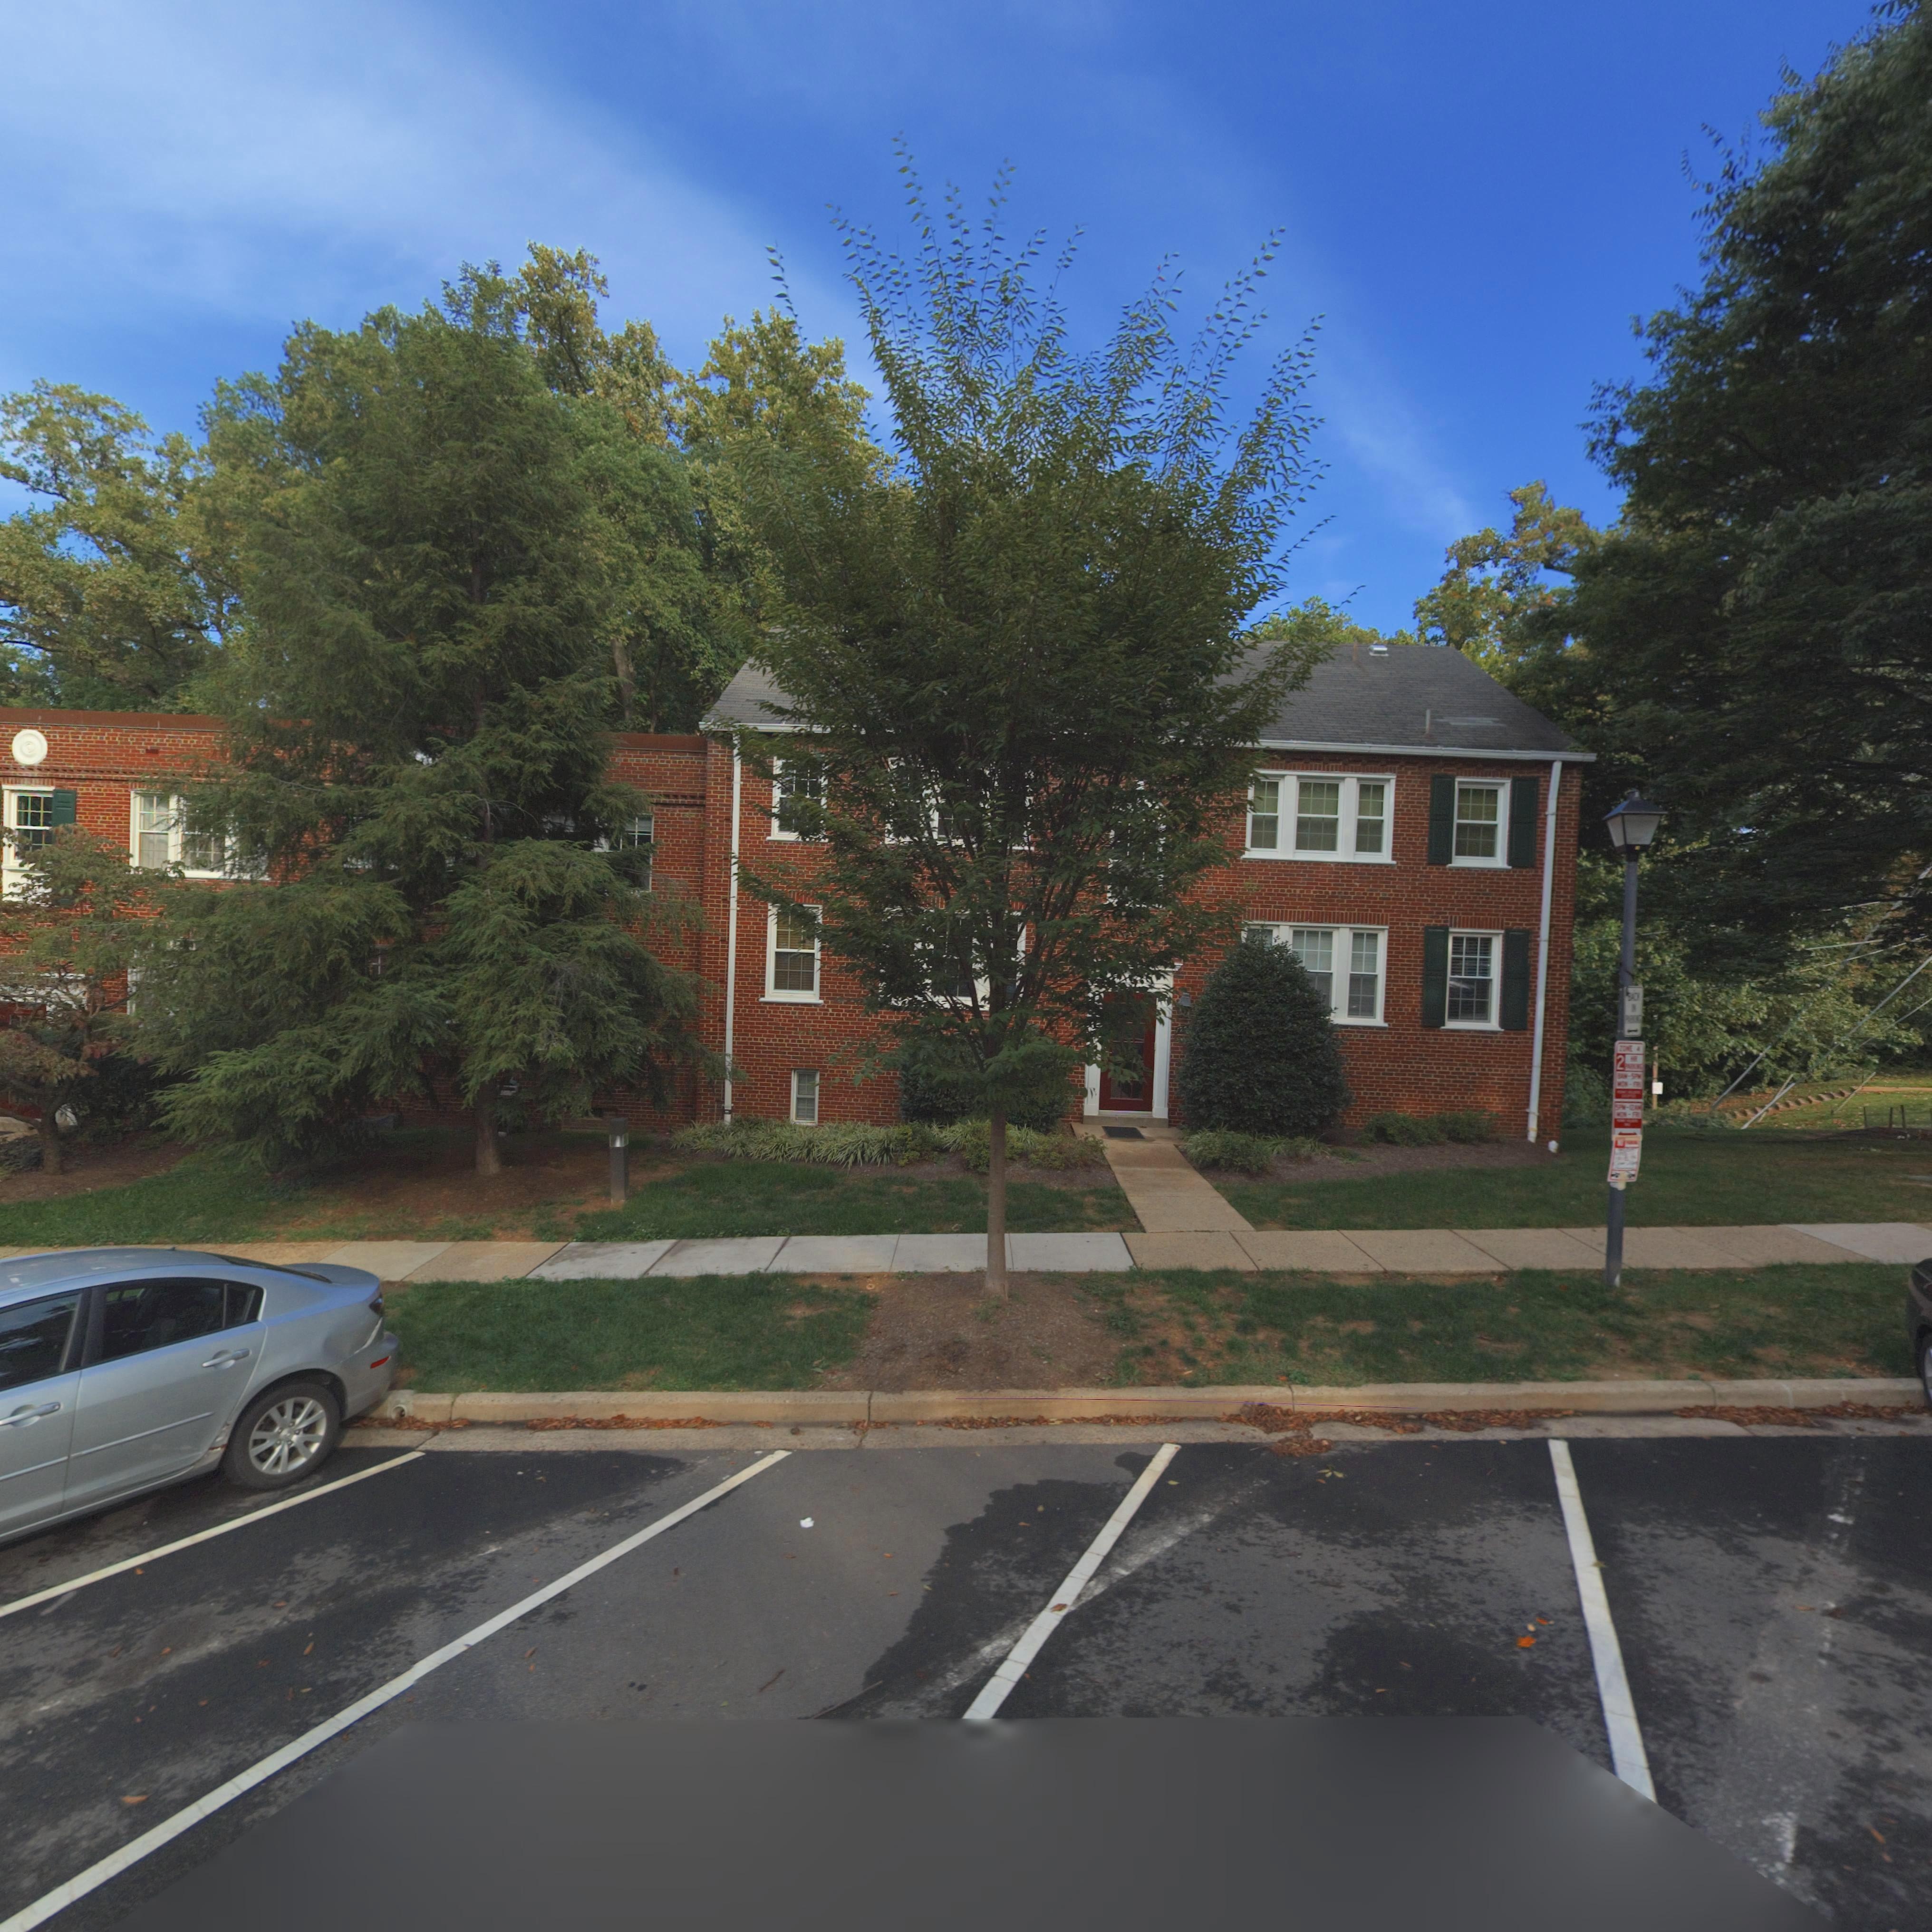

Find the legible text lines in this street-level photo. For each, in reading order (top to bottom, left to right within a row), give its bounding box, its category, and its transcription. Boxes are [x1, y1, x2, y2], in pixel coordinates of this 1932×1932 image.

[1626, 991, 1638, 1003] None: BAC
[1618, 1044, 1642, 1053] None: ZO*E 4
[1615, 1053, 1626, 1072] None: 2
[1628, 1102, 1636, 1112] None: 2